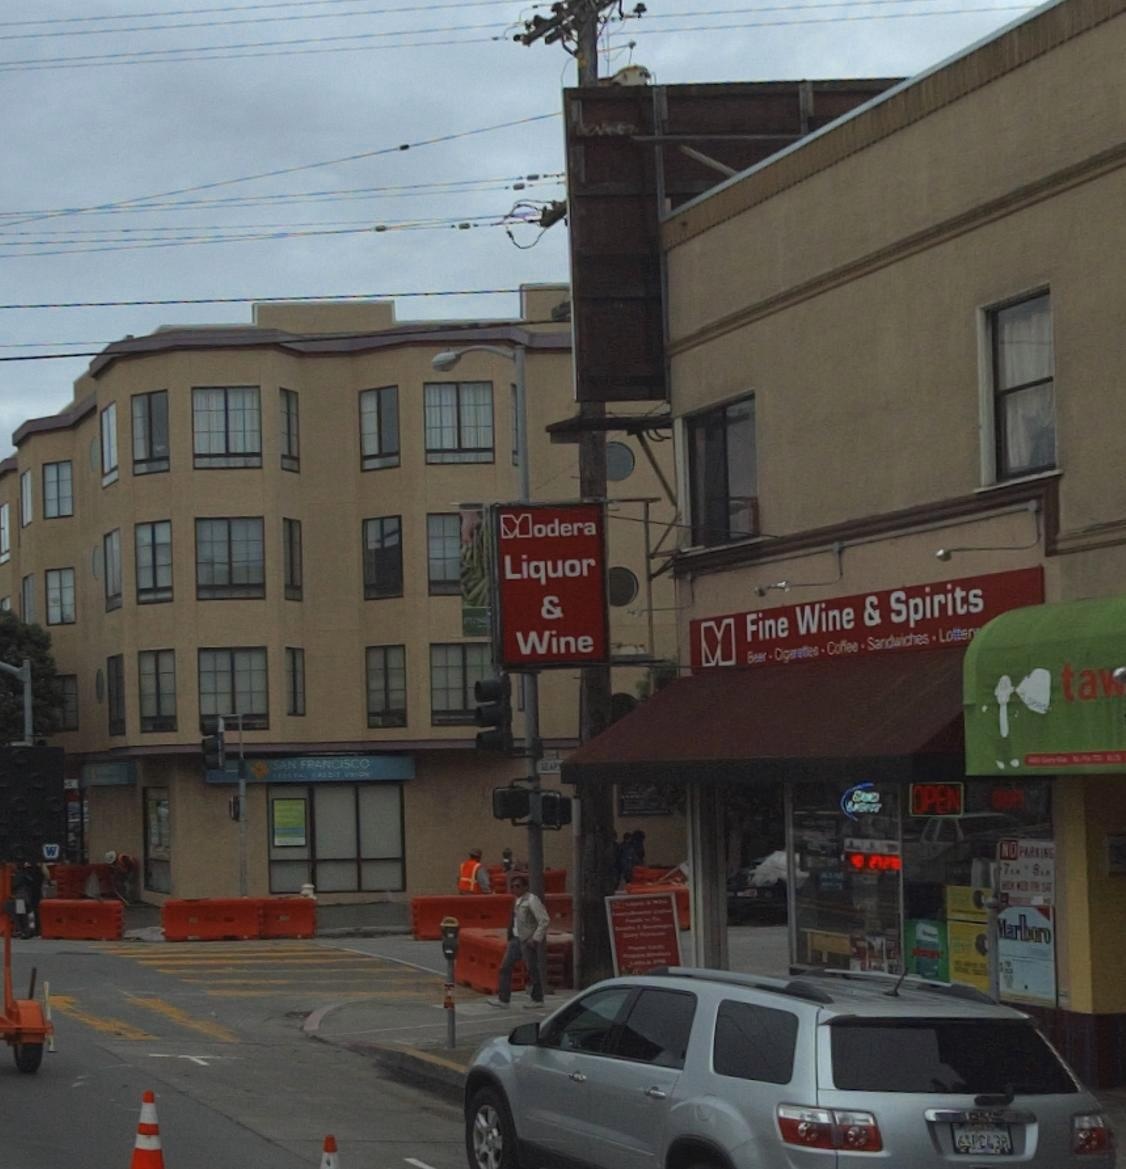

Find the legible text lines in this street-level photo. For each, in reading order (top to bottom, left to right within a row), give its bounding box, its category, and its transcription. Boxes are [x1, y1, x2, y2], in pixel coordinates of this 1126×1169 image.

[498, 511, 599, 541] BusinessName: Modera
[502, 551, 599, 588] BusinessName: Liquor
[537, 593, 569, 623] BusinessName: &
[744, 580, 986, 645] BusinessName: Fine Wine & Spirits
[512, 628, 597, 657] BusinessName: Wine
[745, 624, 977, 666] None: Beer*Cigarettes*Coffee*Sandwiches*Lotter
[1057, 661, 1106, 706] BusinessName: ta
[270, 757, 371, 772] None: SAN FRANCISCO
[844, 799, 884, 815] None: LIGHT
[850, 788, 882, 803] None: BUD
[911, 783, 962, 815] None: OPEN
[848, 852, 904, 873] None: 40 272**
[1001, 860, 1053, 879] None: 7** * 8**
[1000, 839, 1055, 861] None: NO PARKING
[996, 911, 1052, 946] None: Marlboro